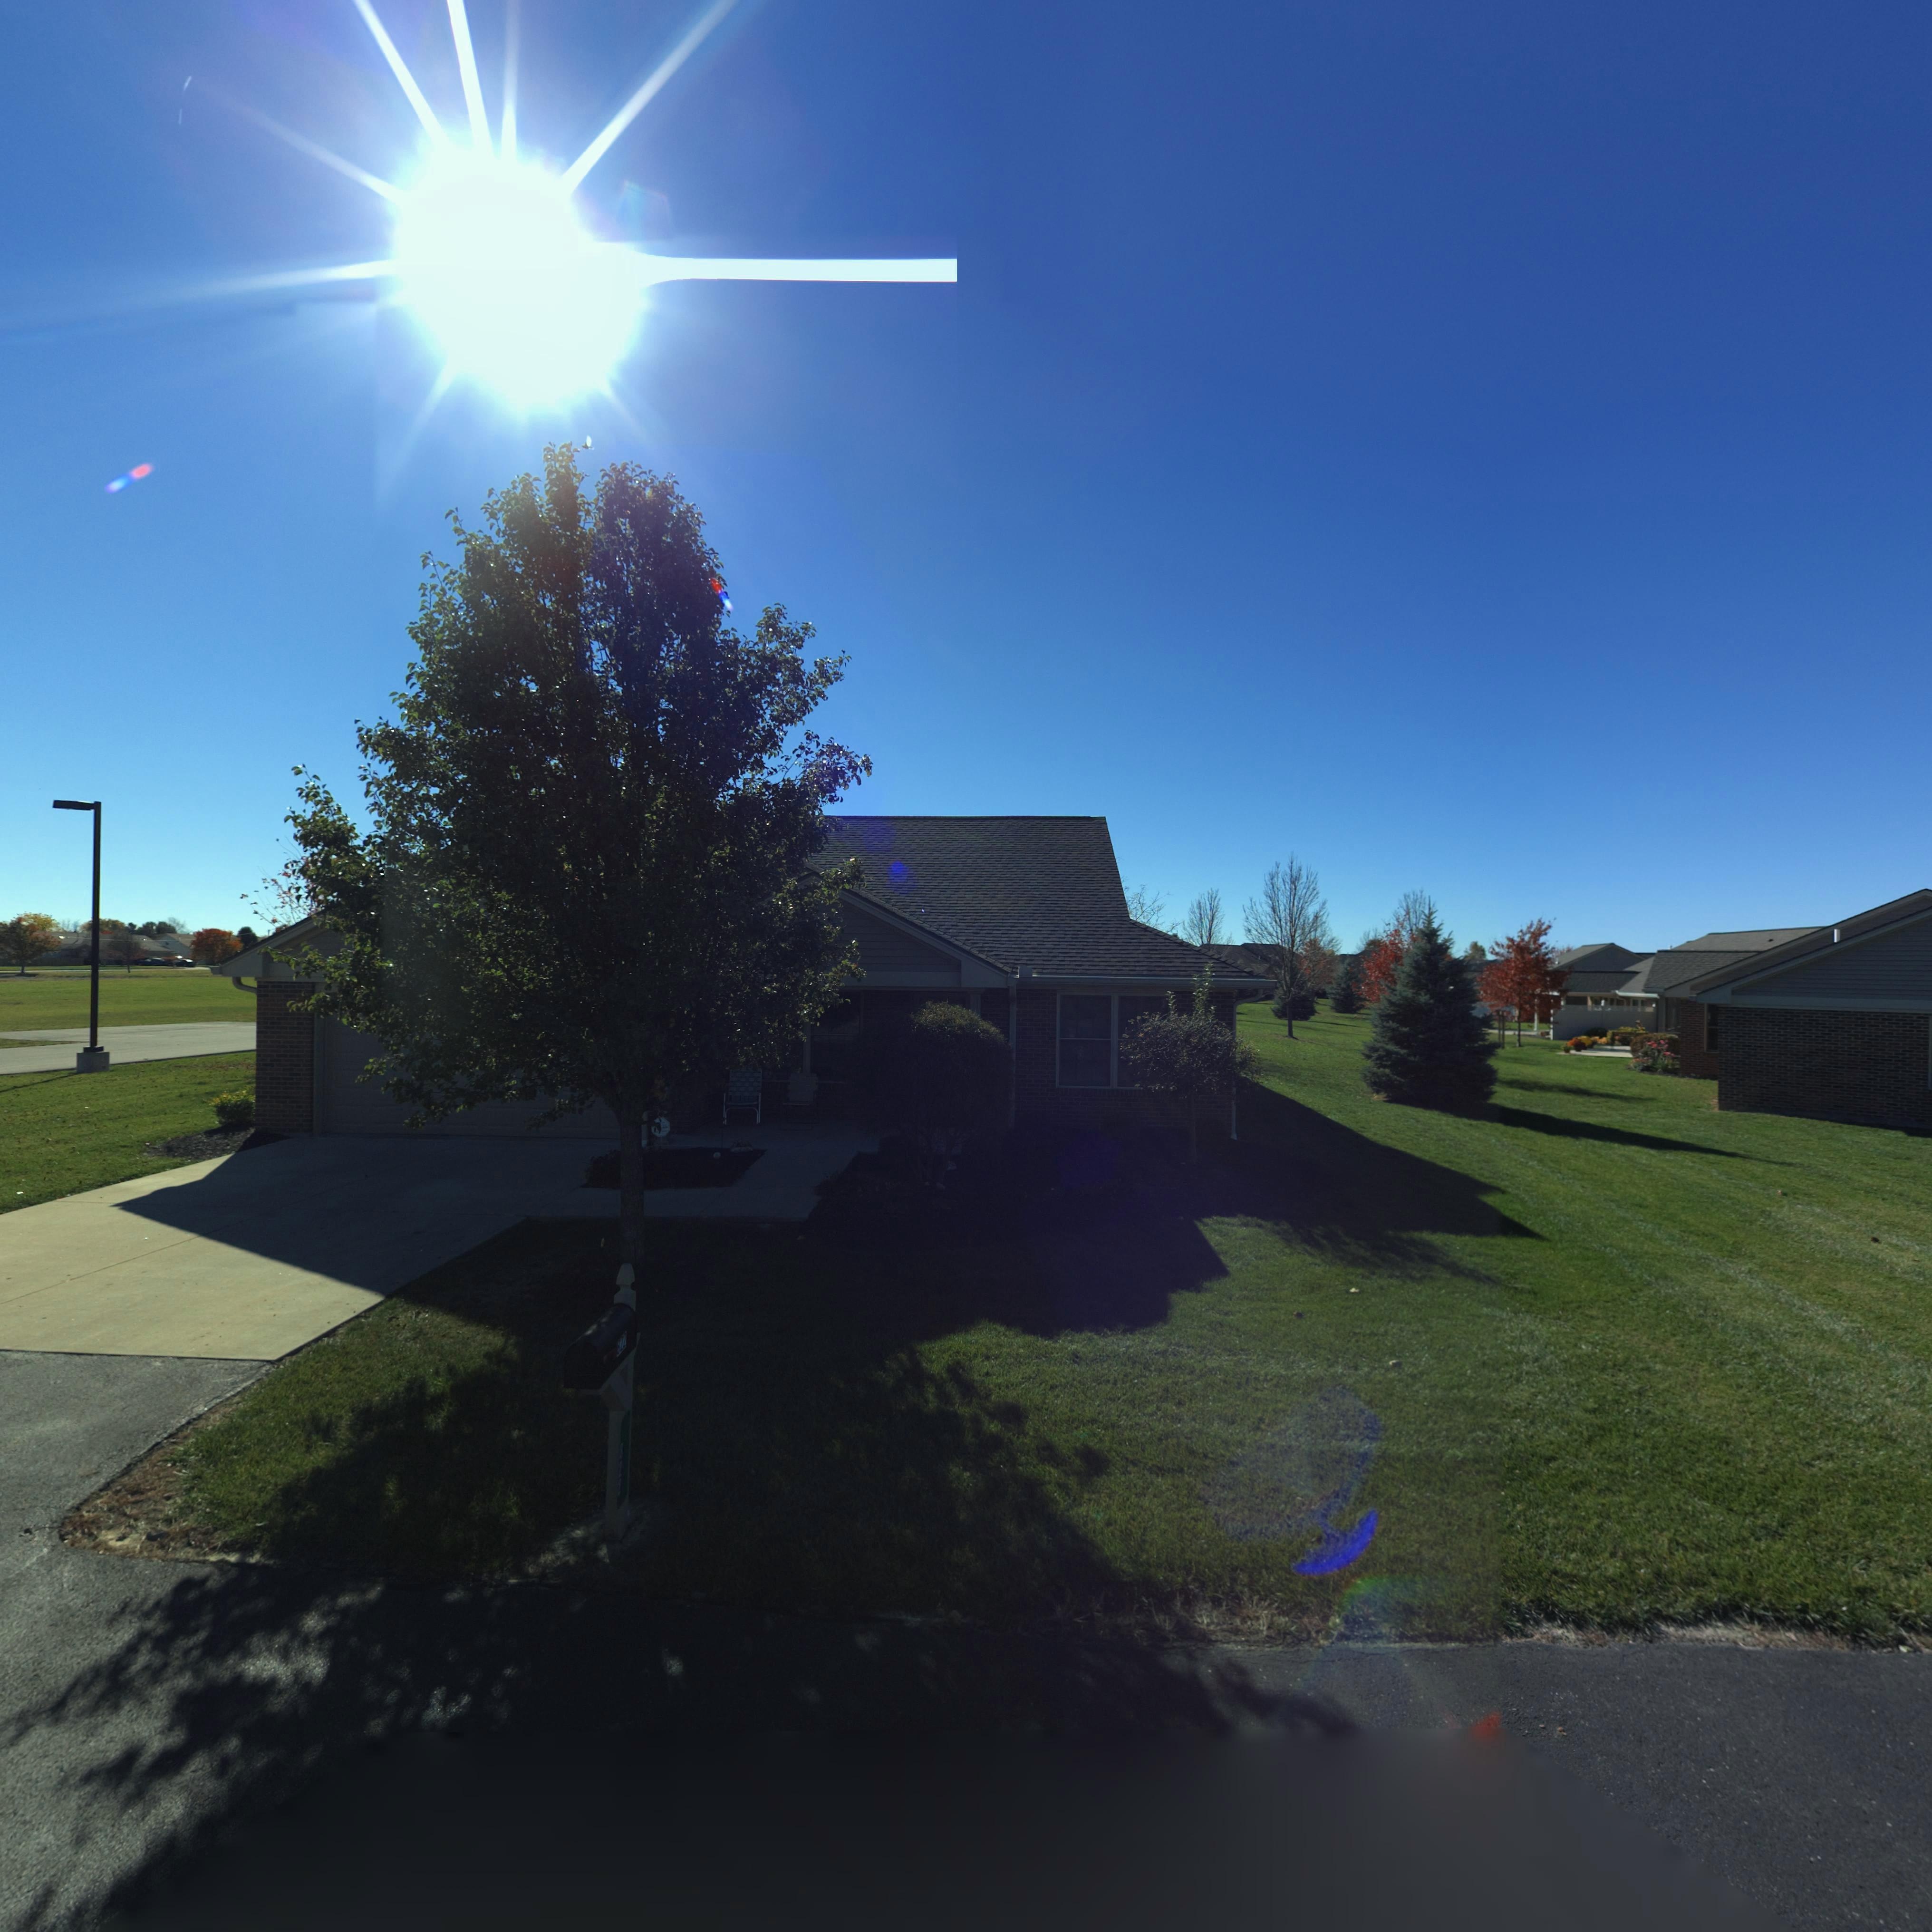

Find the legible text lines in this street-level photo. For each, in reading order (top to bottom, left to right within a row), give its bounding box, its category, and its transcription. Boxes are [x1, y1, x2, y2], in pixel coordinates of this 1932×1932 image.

[616, 1330, 627, 1357] StreetNumber: 822